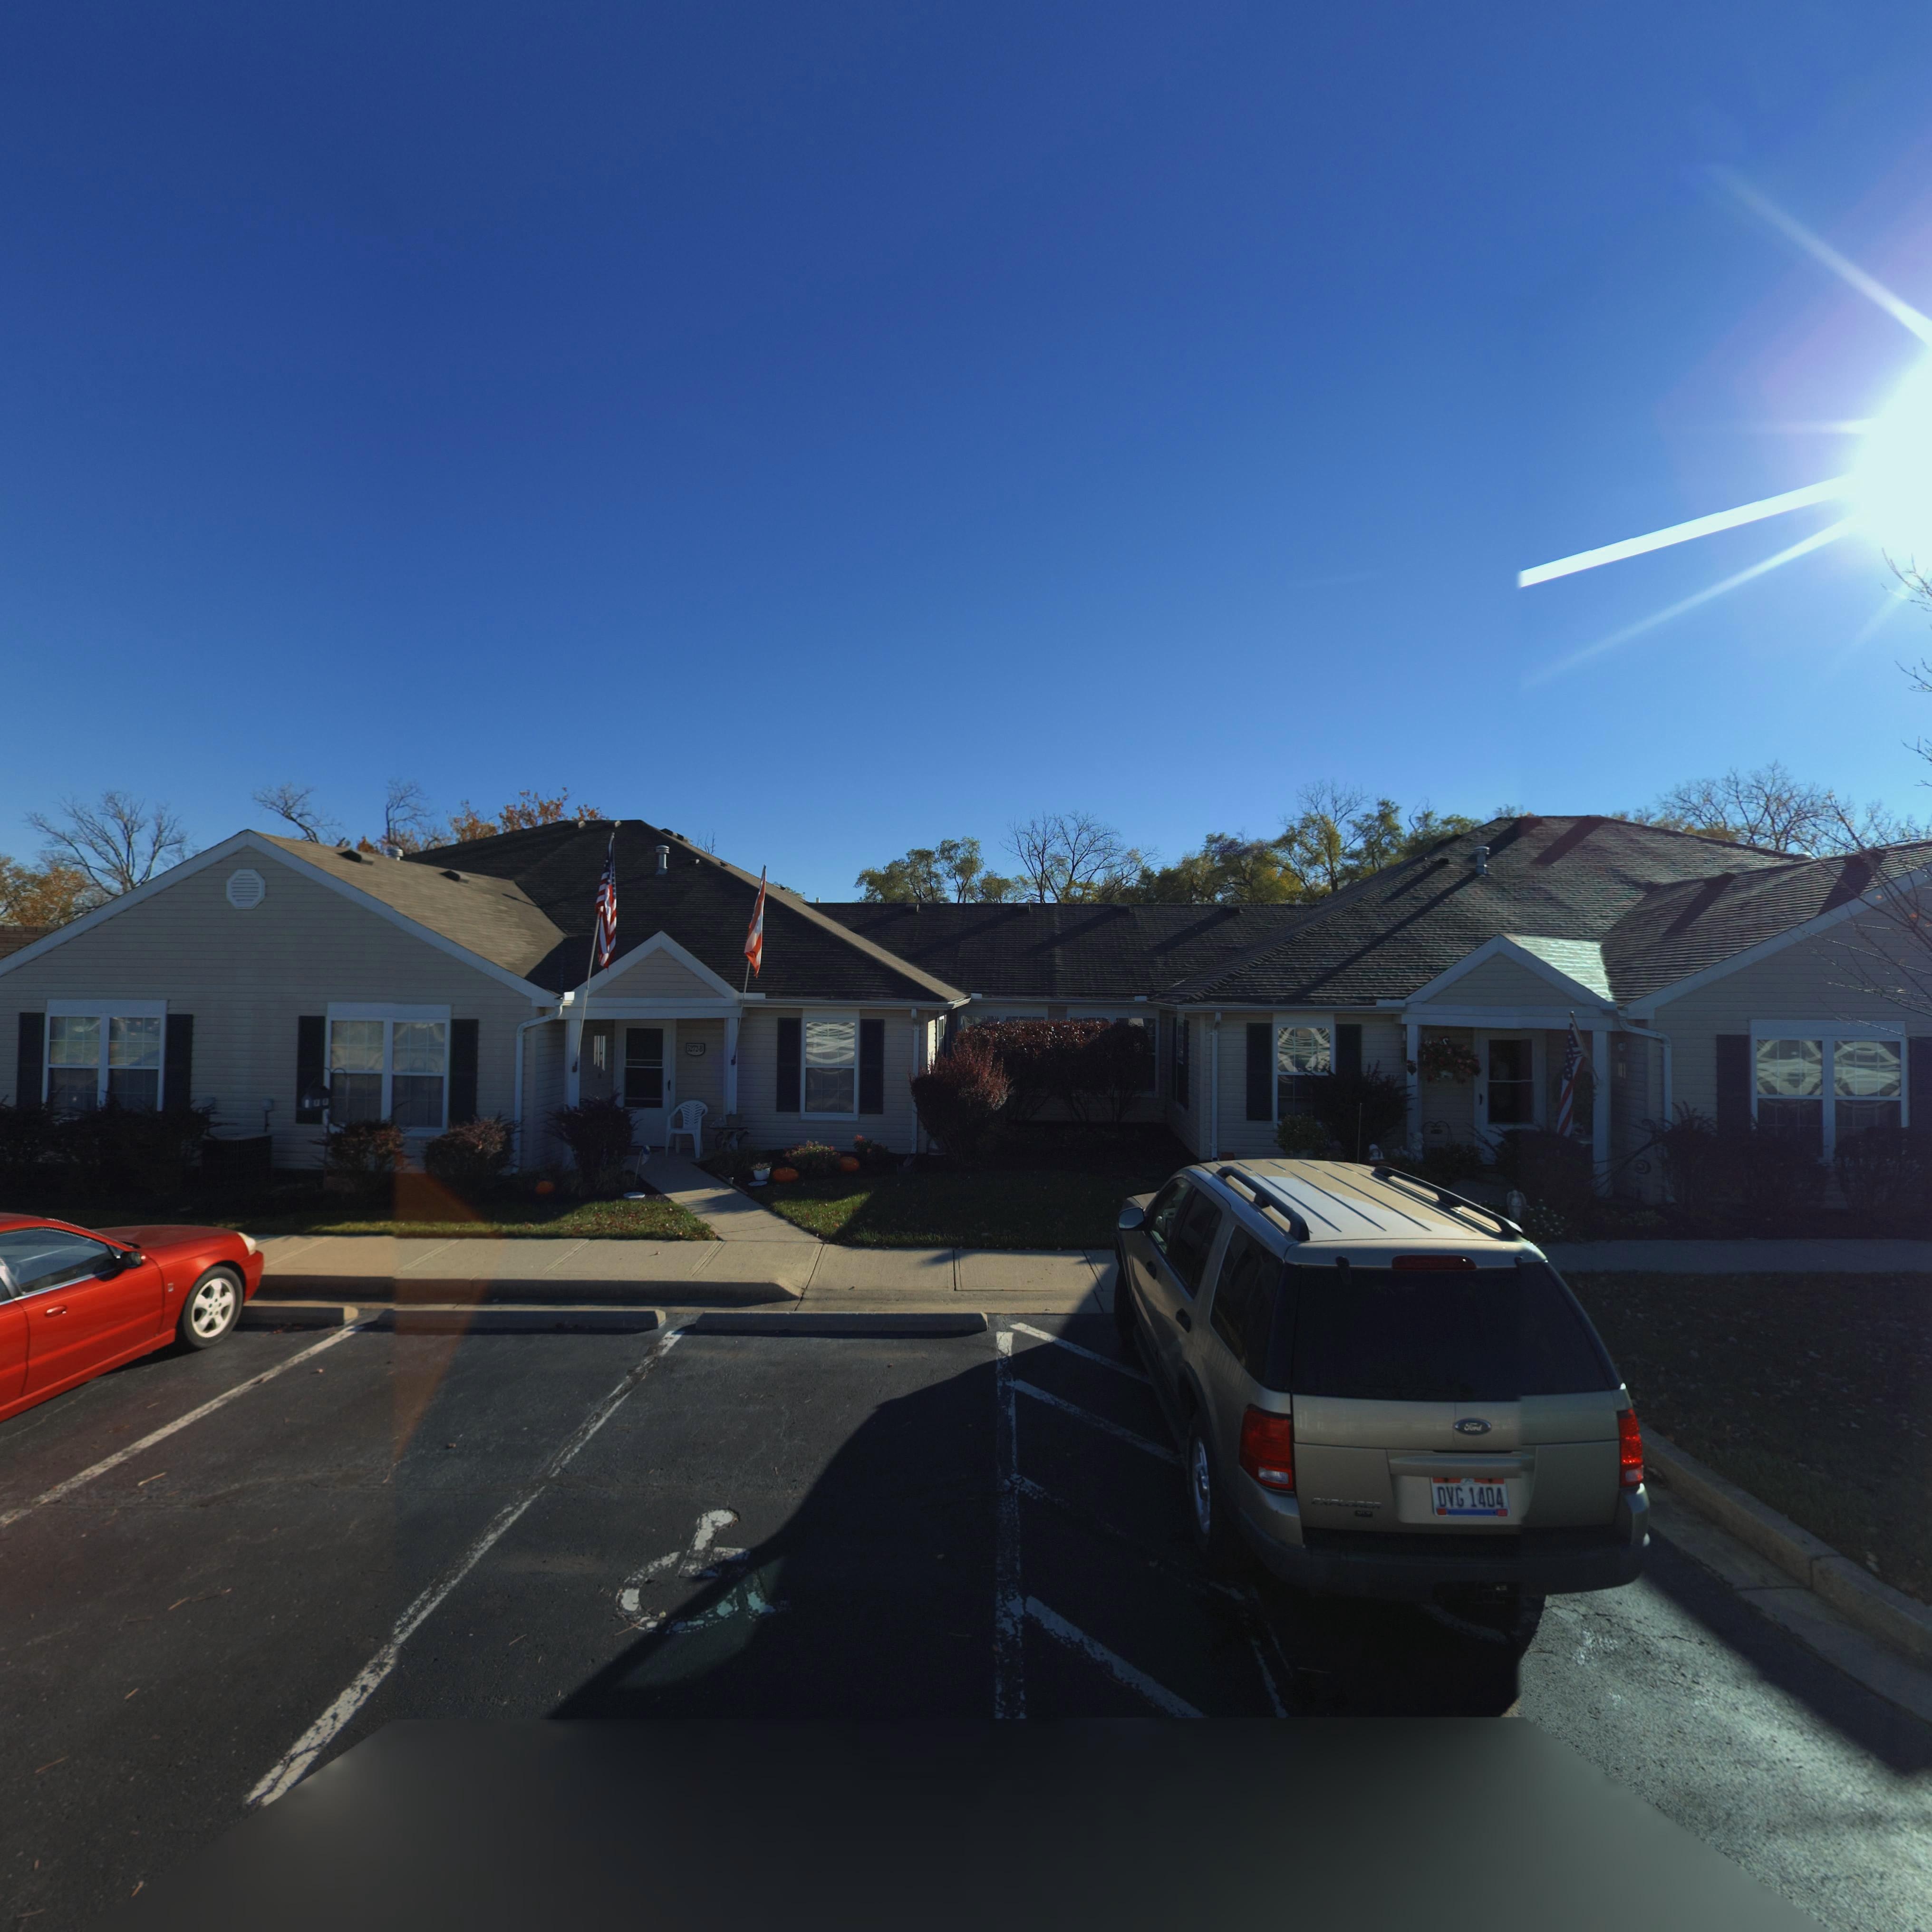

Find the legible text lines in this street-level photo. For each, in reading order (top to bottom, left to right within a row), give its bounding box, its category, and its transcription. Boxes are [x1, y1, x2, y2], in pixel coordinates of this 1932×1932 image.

[686, 1044, 704, 1052] StreetNumber: 5272-B